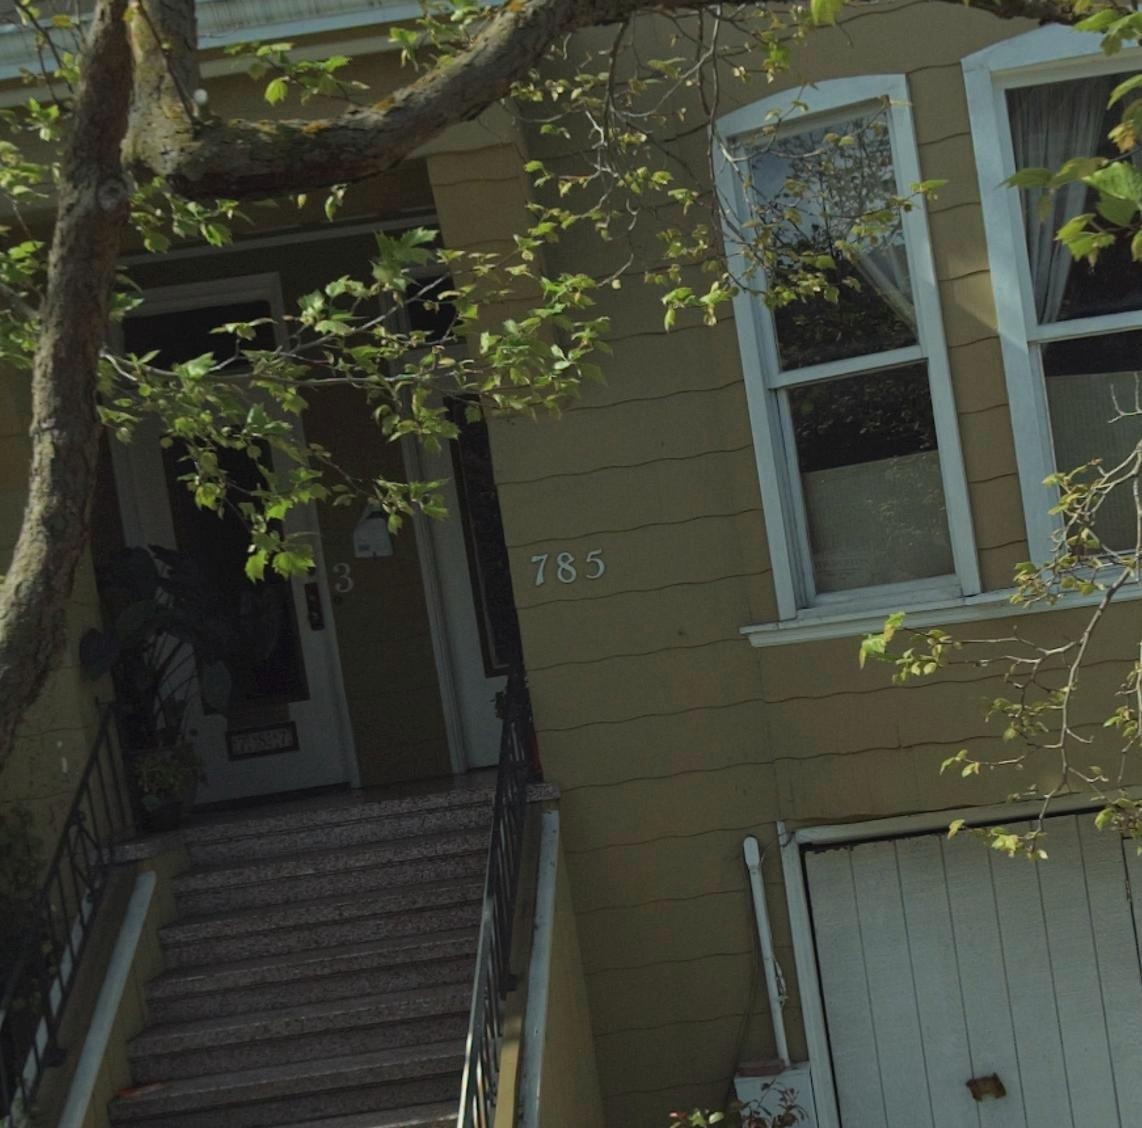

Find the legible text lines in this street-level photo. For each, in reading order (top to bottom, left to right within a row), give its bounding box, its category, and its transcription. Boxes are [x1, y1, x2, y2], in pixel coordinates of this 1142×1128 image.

[329, 559, 357, 595] StreetNumber: 3
[528, 546, 607, 591] StreetNumber: 785
[234, 727, 288, 755] StreetNumber: 787